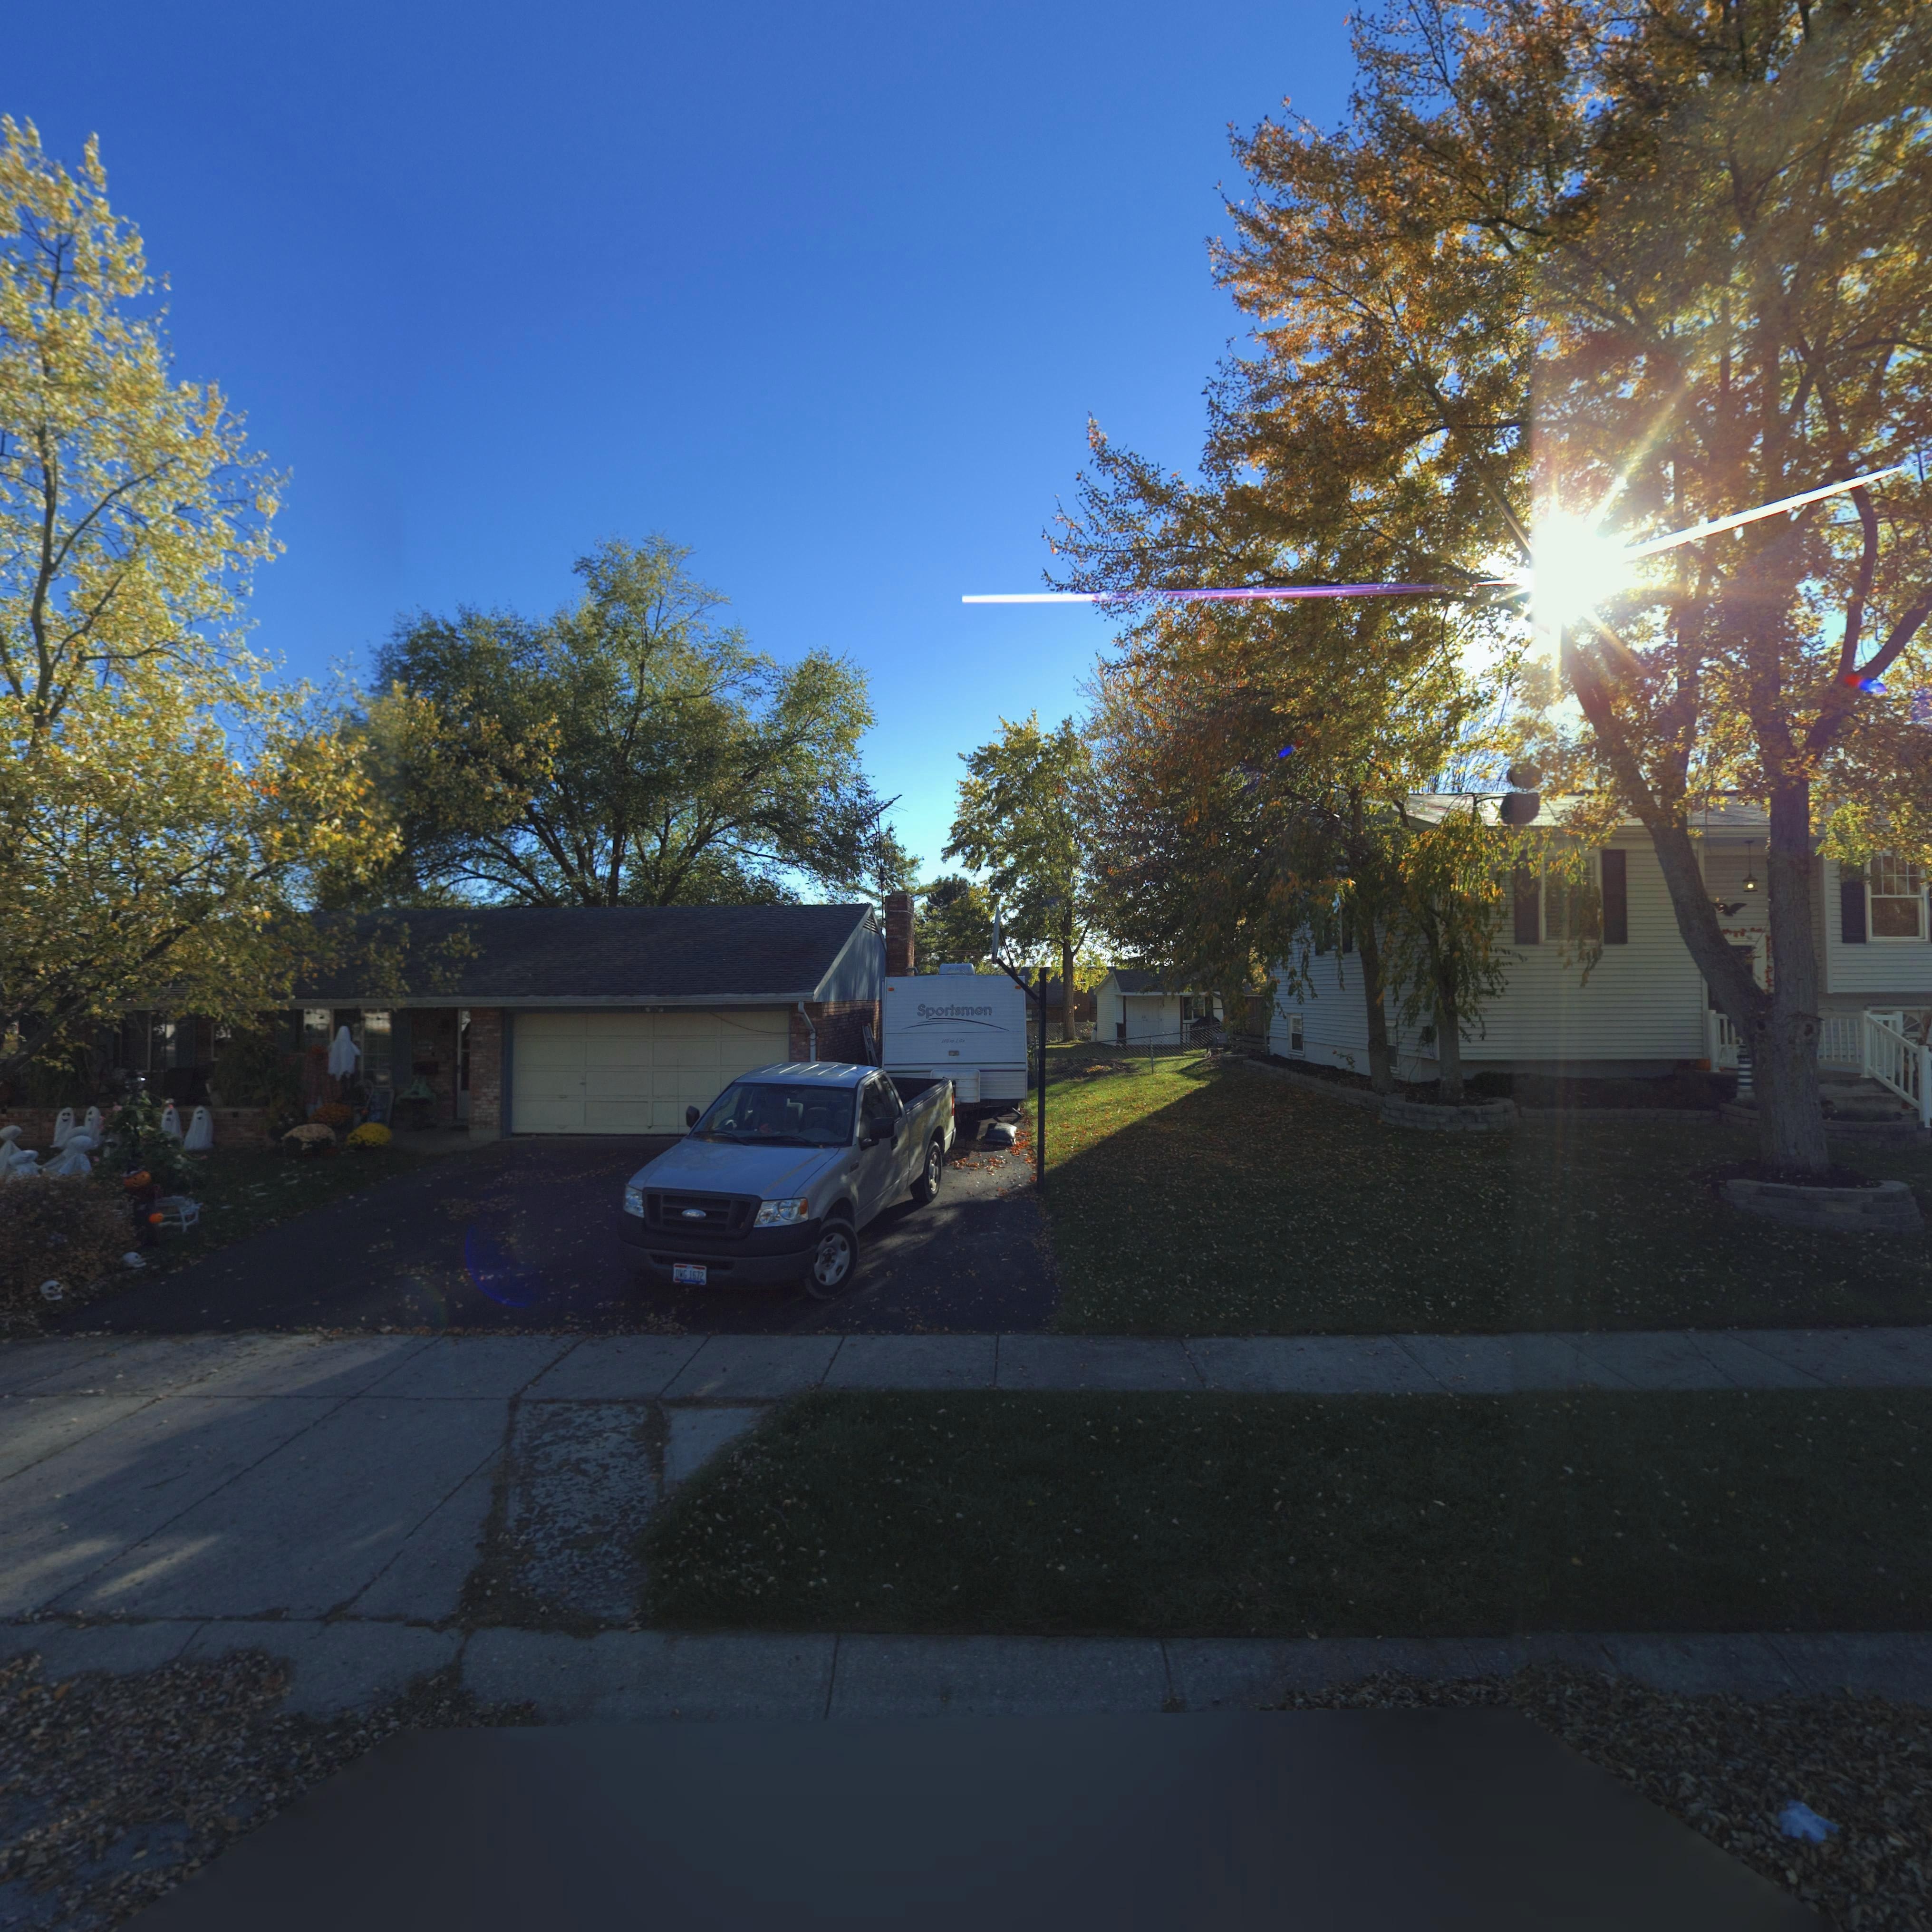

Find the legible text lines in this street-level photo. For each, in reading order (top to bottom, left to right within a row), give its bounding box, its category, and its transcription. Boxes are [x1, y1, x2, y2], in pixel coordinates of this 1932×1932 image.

[630, 1005, 649, 1011] StreetNumber: 510*